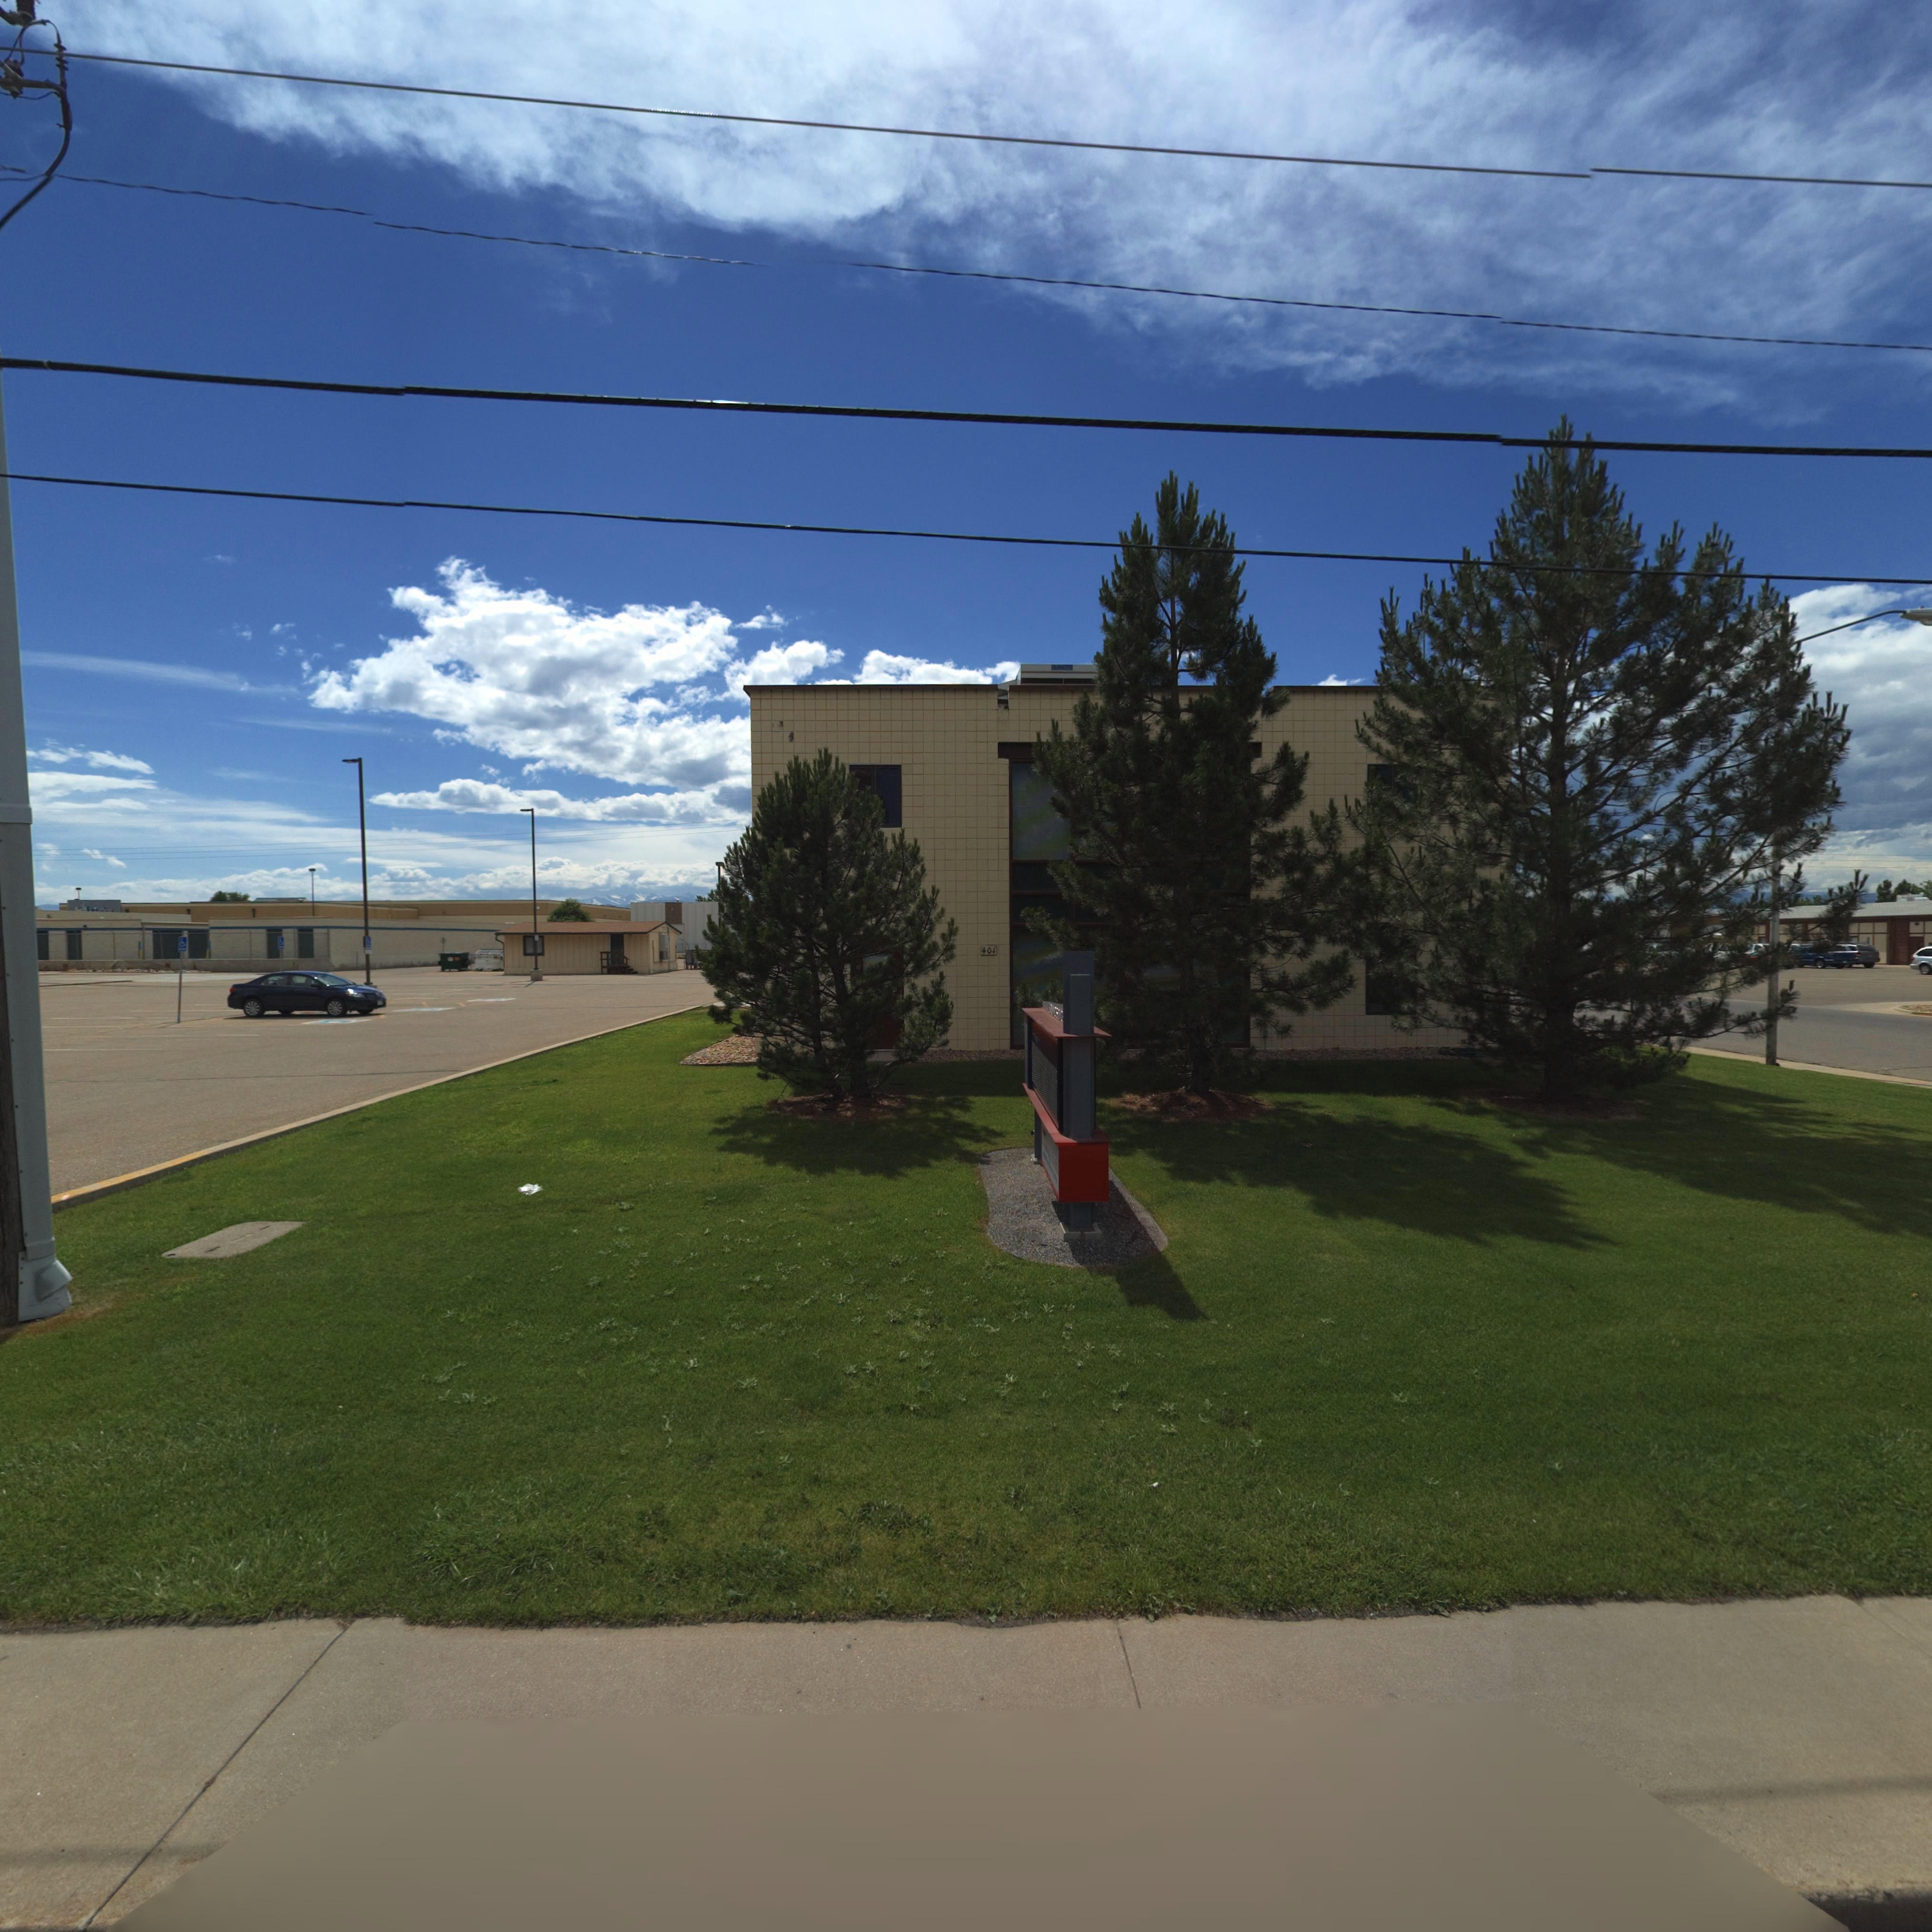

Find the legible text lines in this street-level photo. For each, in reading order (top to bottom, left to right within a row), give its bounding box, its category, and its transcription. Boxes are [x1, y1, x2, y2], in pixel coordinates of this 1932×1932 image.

[981, 946, 995, 954] StreetNumber: 401